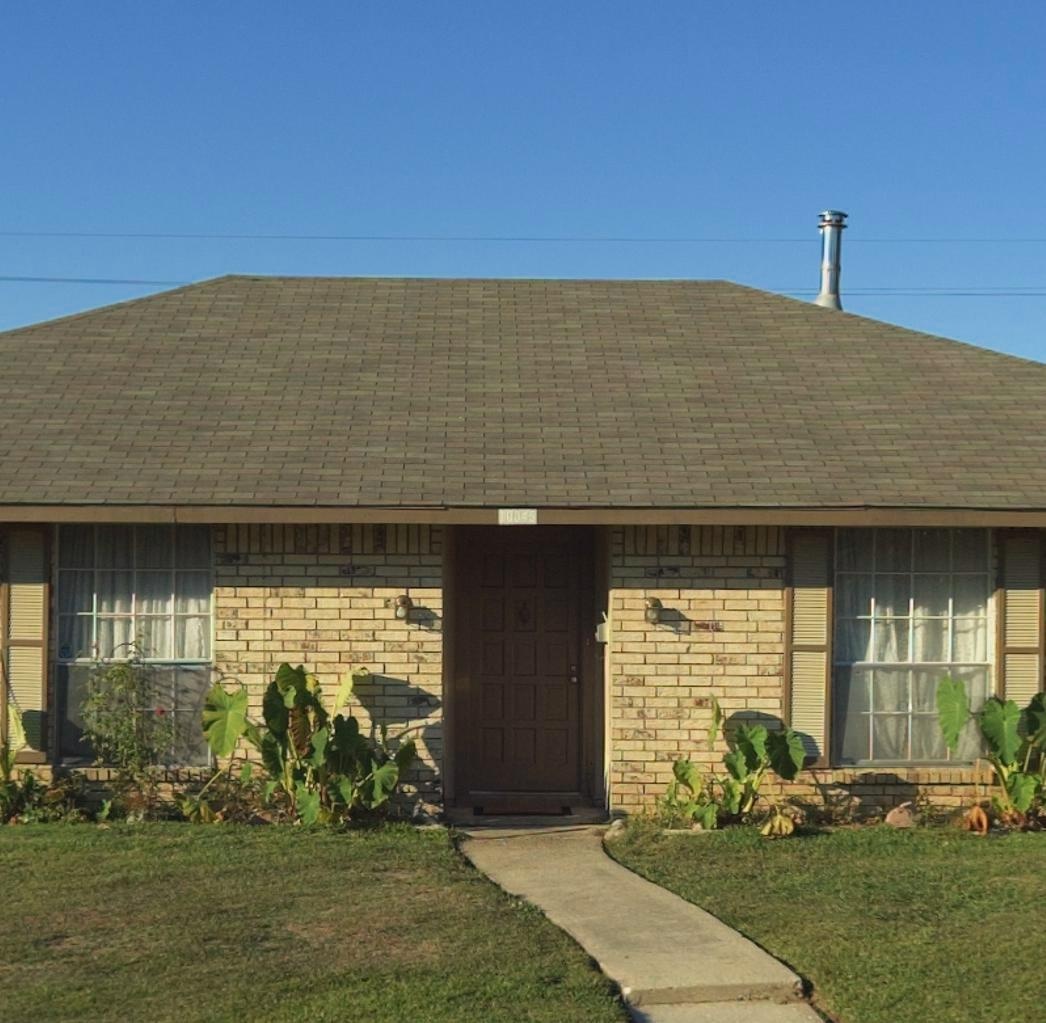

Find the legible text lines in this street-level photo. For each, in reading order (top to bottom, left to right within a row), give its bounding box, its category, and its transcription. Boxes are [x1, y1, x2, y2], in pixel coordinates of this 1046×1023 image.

[498, 509, 537, 524] StreetNumber: 10345